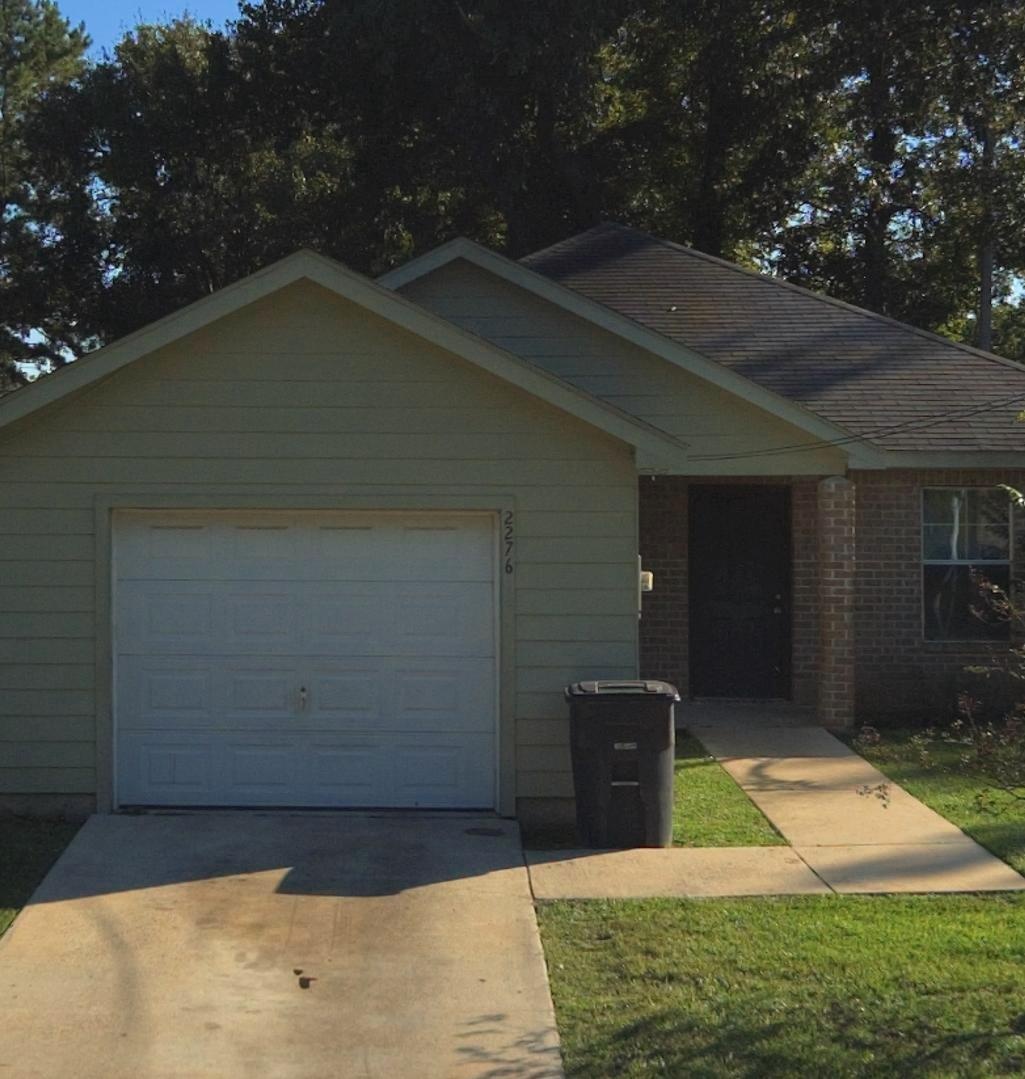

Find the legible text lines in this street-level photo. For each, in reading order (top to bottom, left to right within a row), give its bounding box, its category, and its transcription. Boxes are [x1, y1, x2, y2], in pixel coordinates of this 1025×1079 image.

[503, 509, 515, 575] StreetNumber: 2276